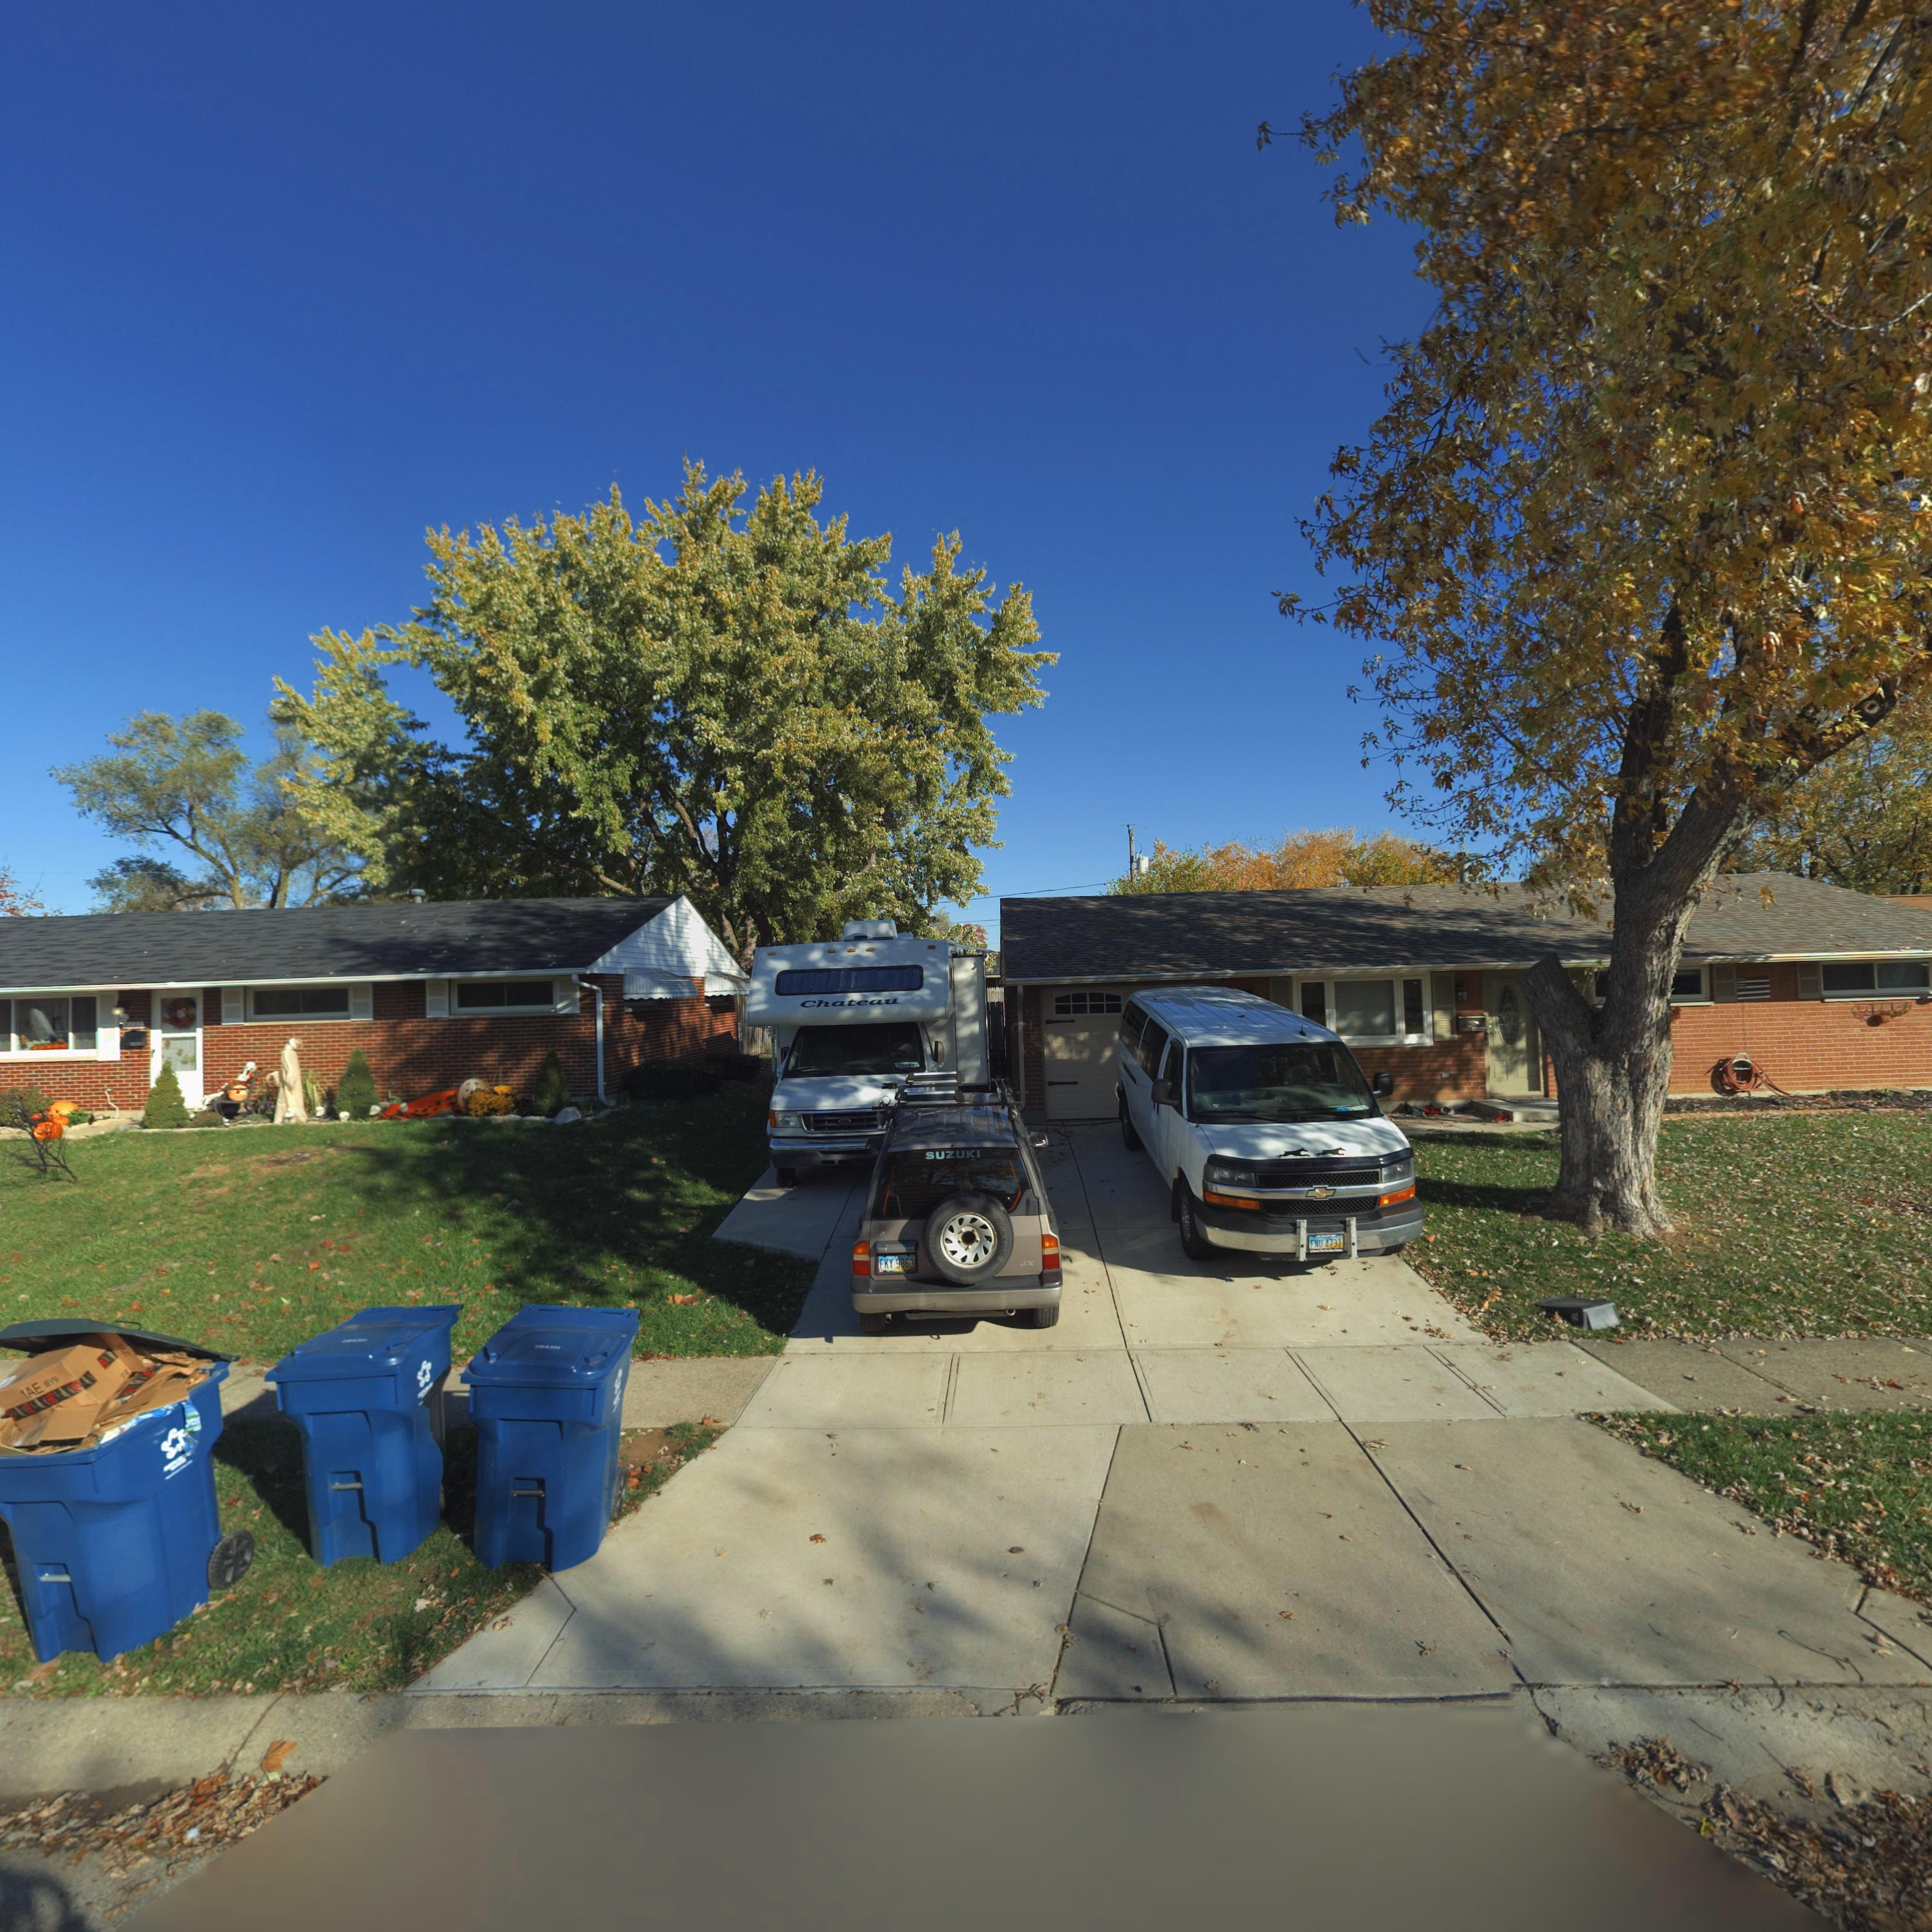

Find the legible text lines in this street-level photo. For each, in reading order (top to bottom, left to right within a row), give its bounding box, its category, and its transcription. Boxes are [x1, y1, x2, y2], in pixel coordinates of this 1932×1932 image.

[123, 1021, 143, 1027] StreetNumber: 613*
[1024, 1005, 1036, 1059] StreetNumber: 6143